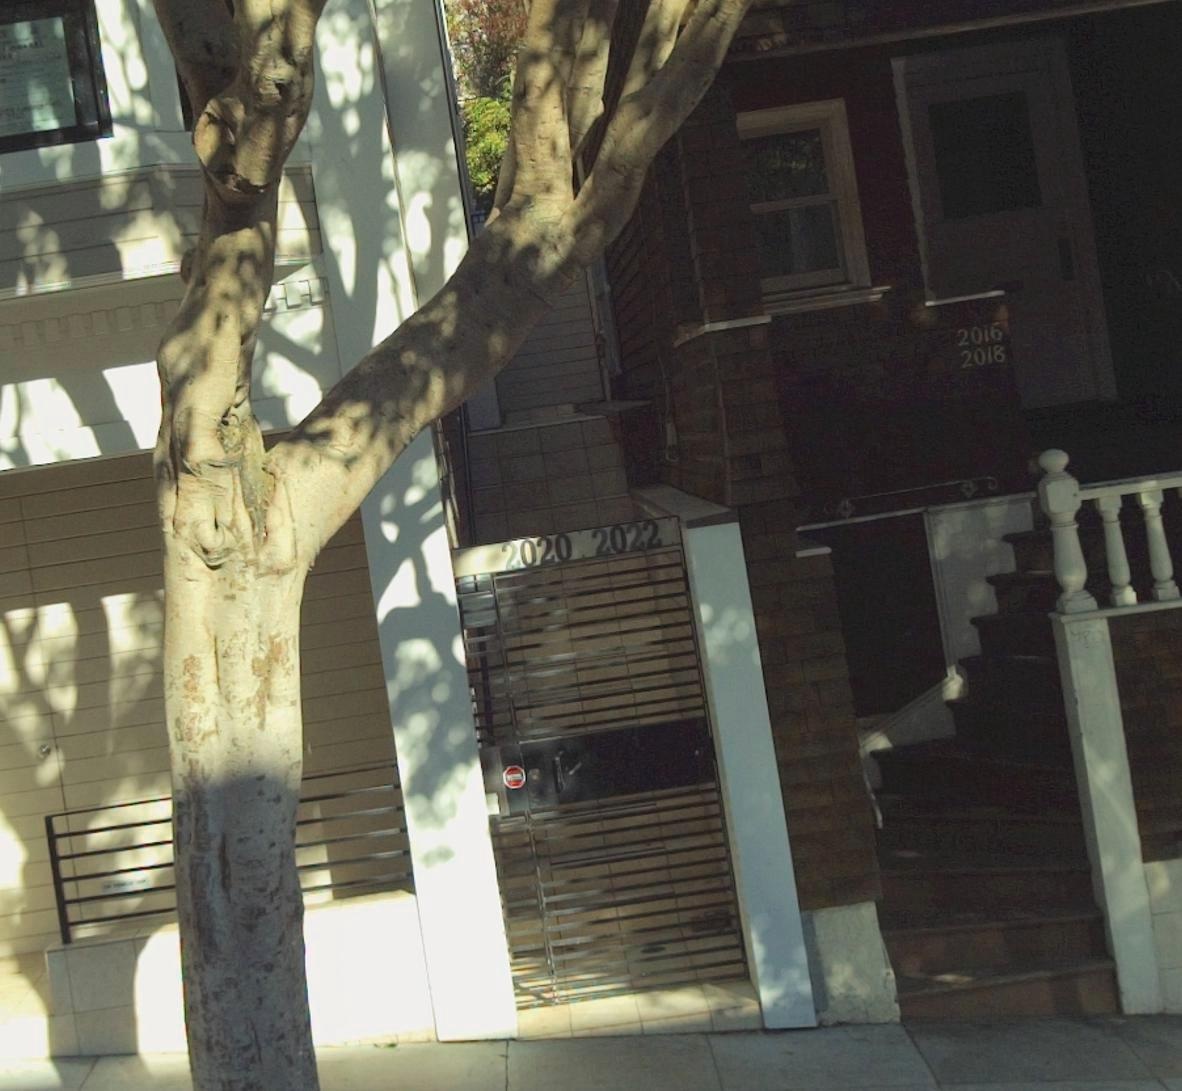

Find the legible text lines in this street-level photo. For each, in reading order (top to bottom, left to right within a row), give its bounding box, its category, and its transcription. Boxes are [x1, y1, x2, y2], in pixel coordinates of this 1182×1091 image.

[954, 319, 1005, 349] StreetNumber: 2016
[959, 343, 1007, 370] StreetNumber: 2018
[500, 532, 576, 574] StreetNumber: 2020
[589, 518, 665, 558] StreetNumber: 2022